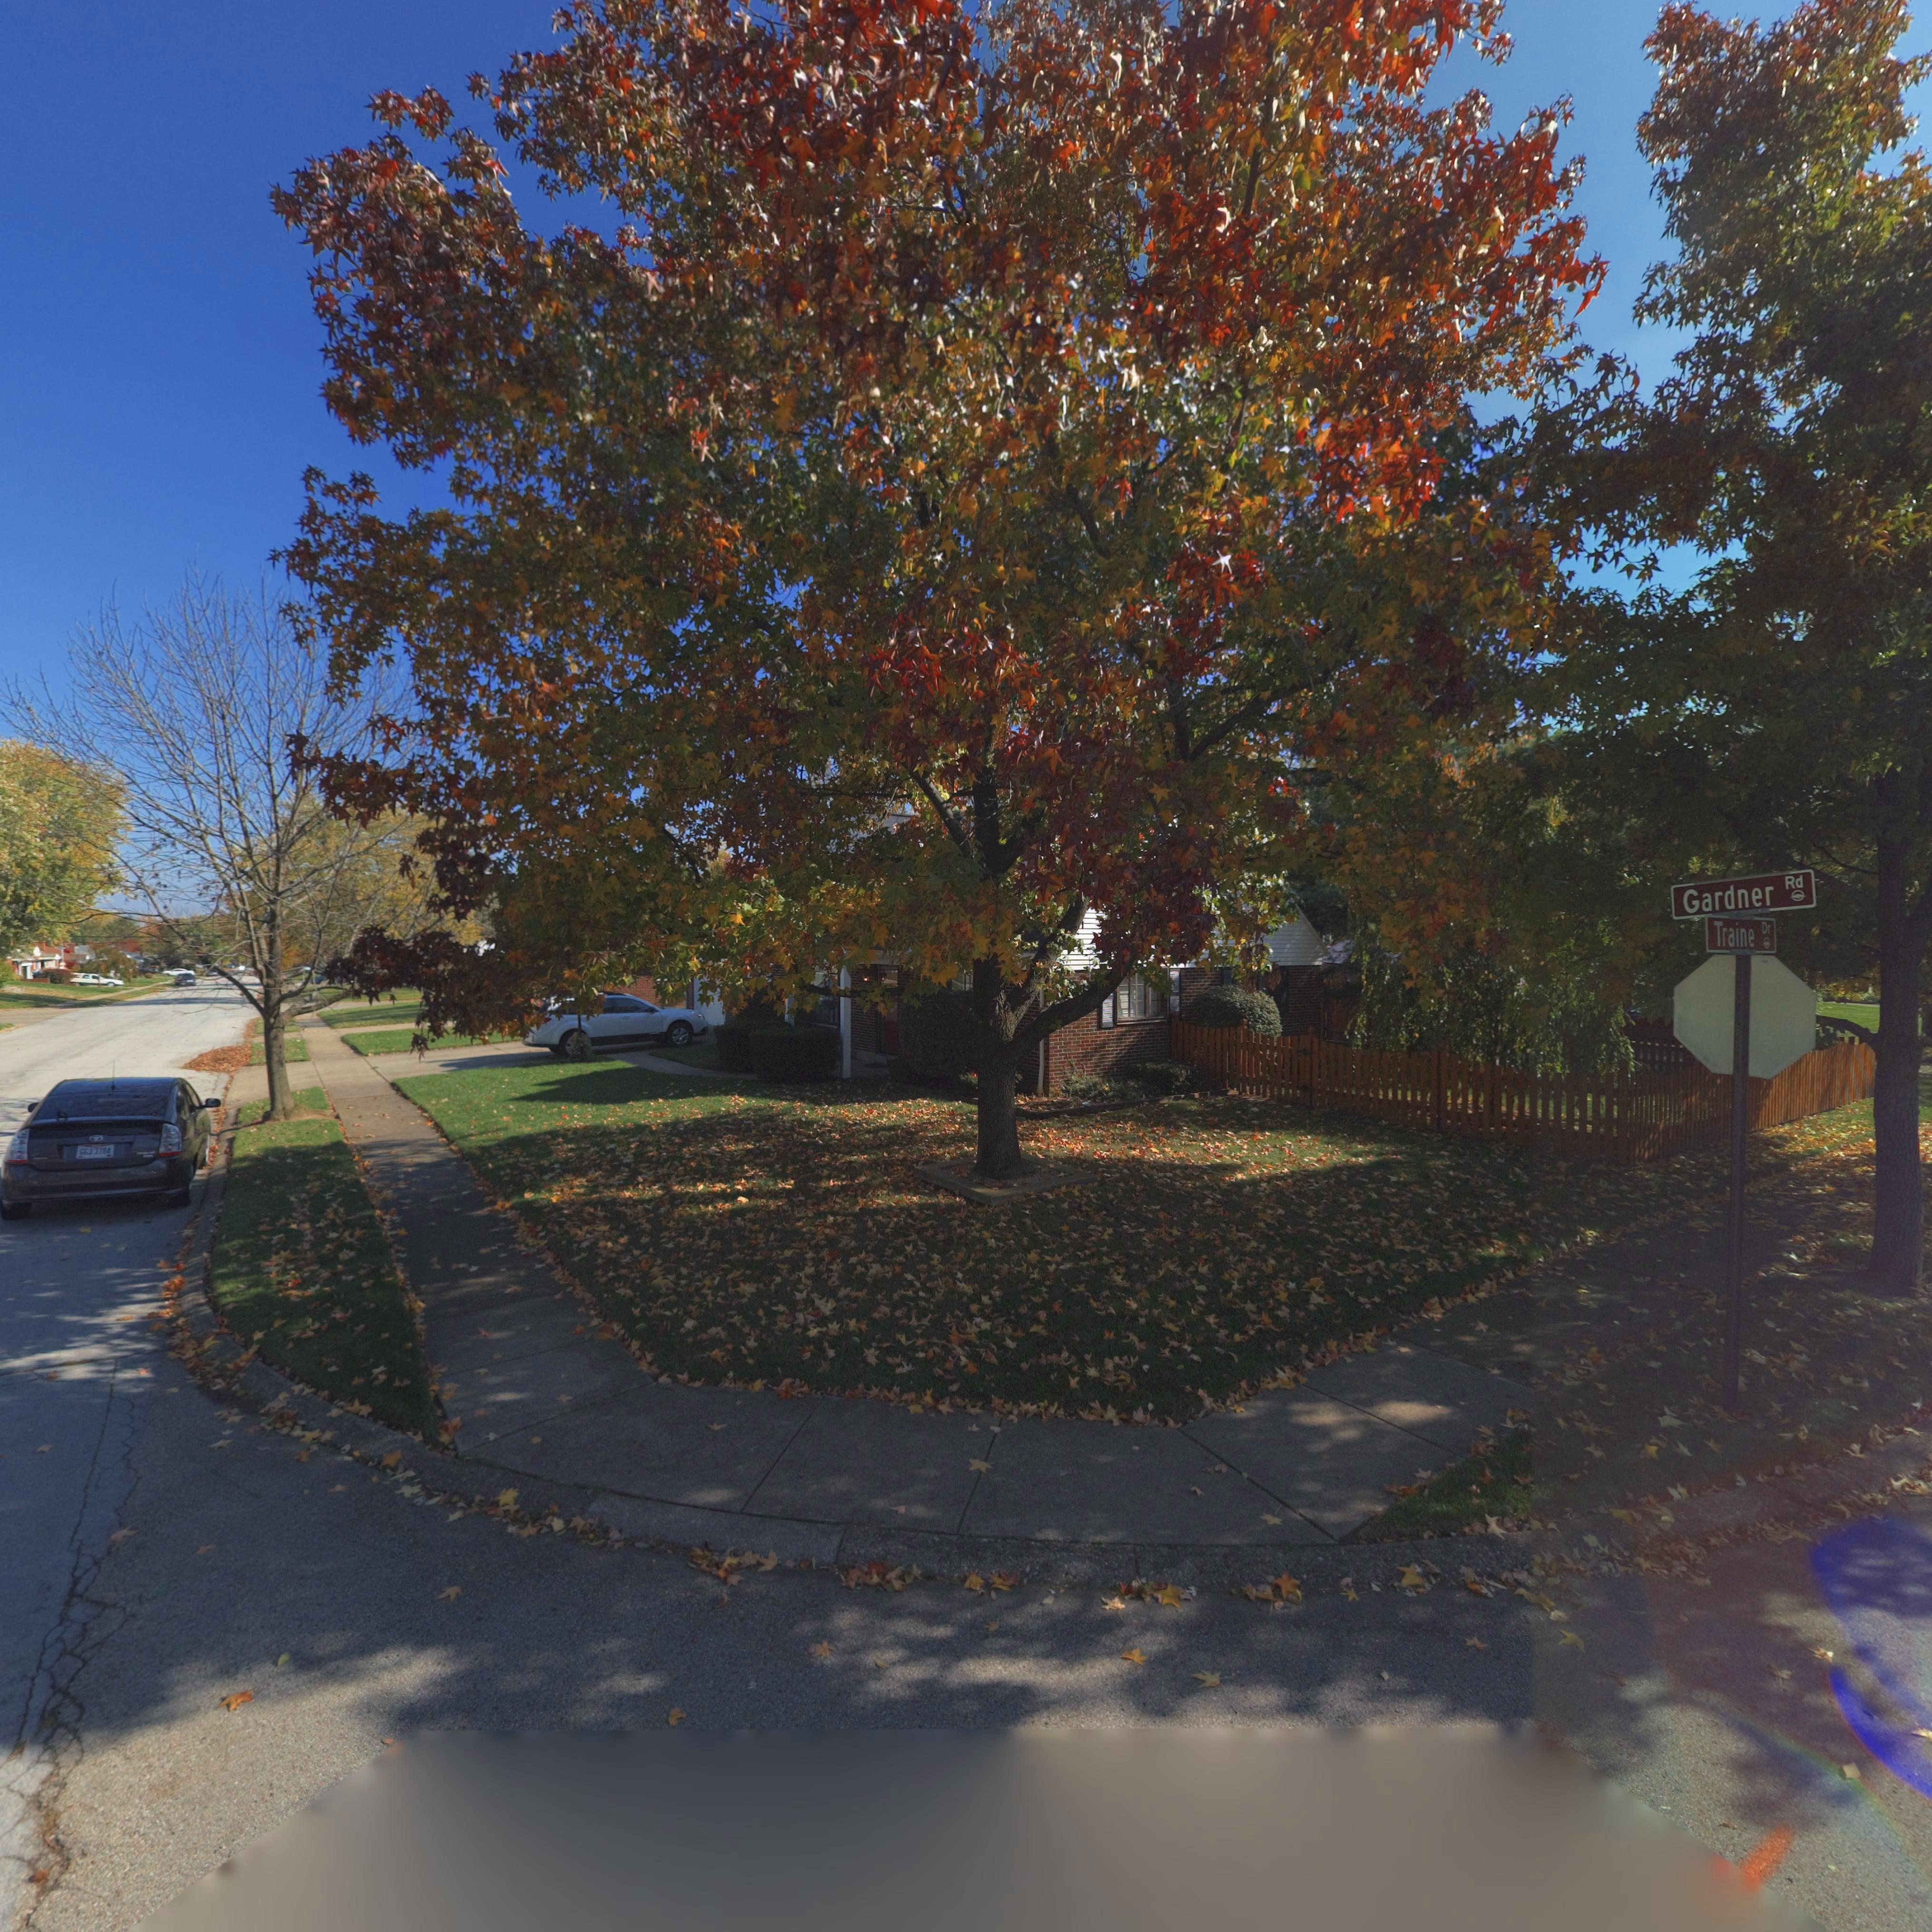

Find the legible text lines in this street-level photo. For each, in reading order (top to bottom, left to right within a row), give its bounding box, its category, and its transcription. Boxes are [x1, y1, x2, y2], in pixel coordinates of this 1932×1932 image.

[1681, 873, 1806, 916] StreetName: Gardner Rd
[1712, 919, 1772, 948] StreetName: Traine Dr
[78, 1145, 112, 1157] None: GGJ 3784